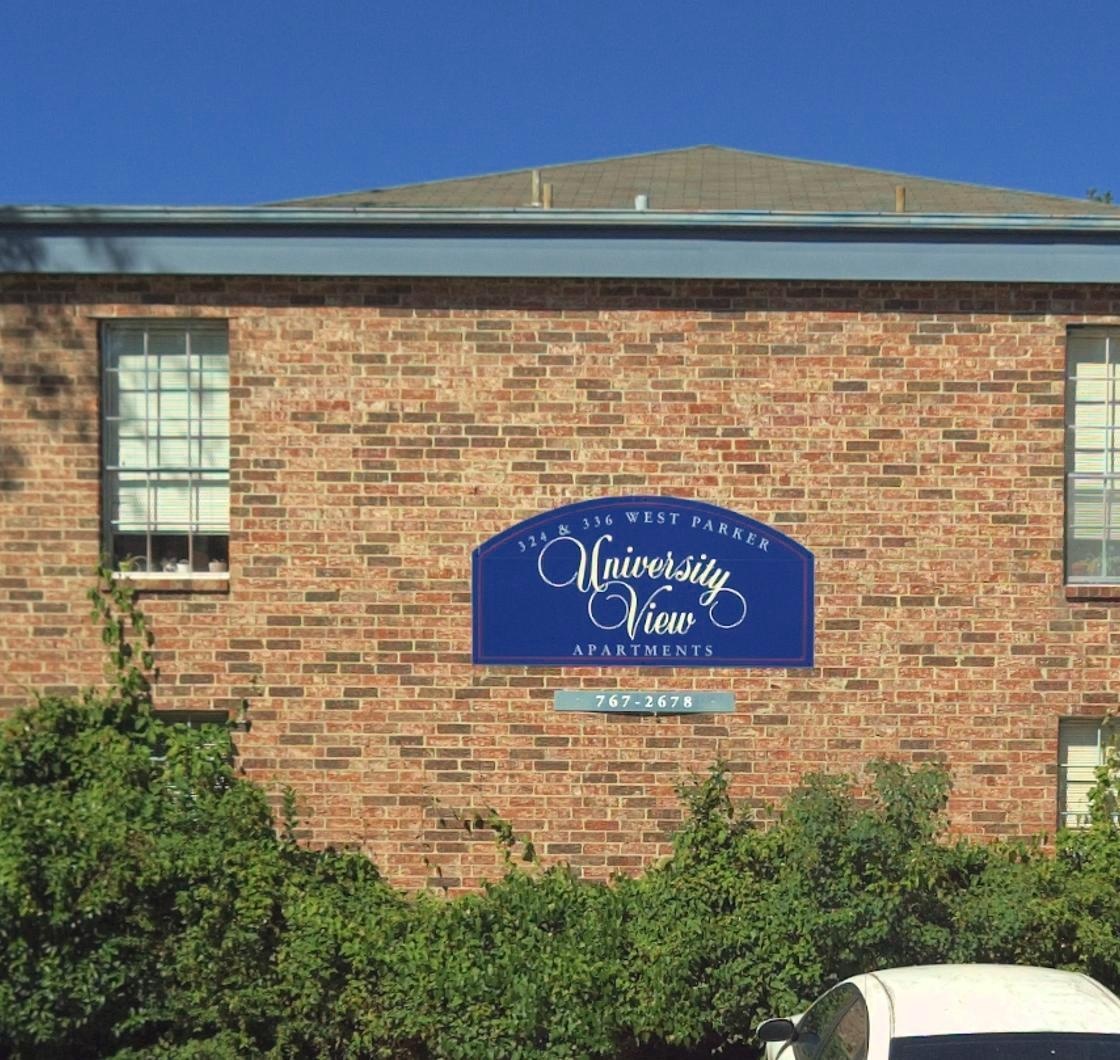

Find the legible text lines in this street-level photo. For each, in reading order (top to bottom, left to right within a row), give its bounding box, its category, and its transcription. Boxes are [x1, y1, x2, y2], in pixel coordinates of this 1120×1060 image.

[515, 529, 549, 555] StreetNumber: 324
[581, 513, 615, 532] StreetNumber: 336
[624, 511, 771, 554] StreetName: WEST PARKER
[569, 532, 734, 603] BusinessName: University
[624, 581, 698, 643] BusinessName: View
[570, 643, 713, 658] BusinessName: APARTMENTS
[595, 693, 693, 709] None: 767-2678